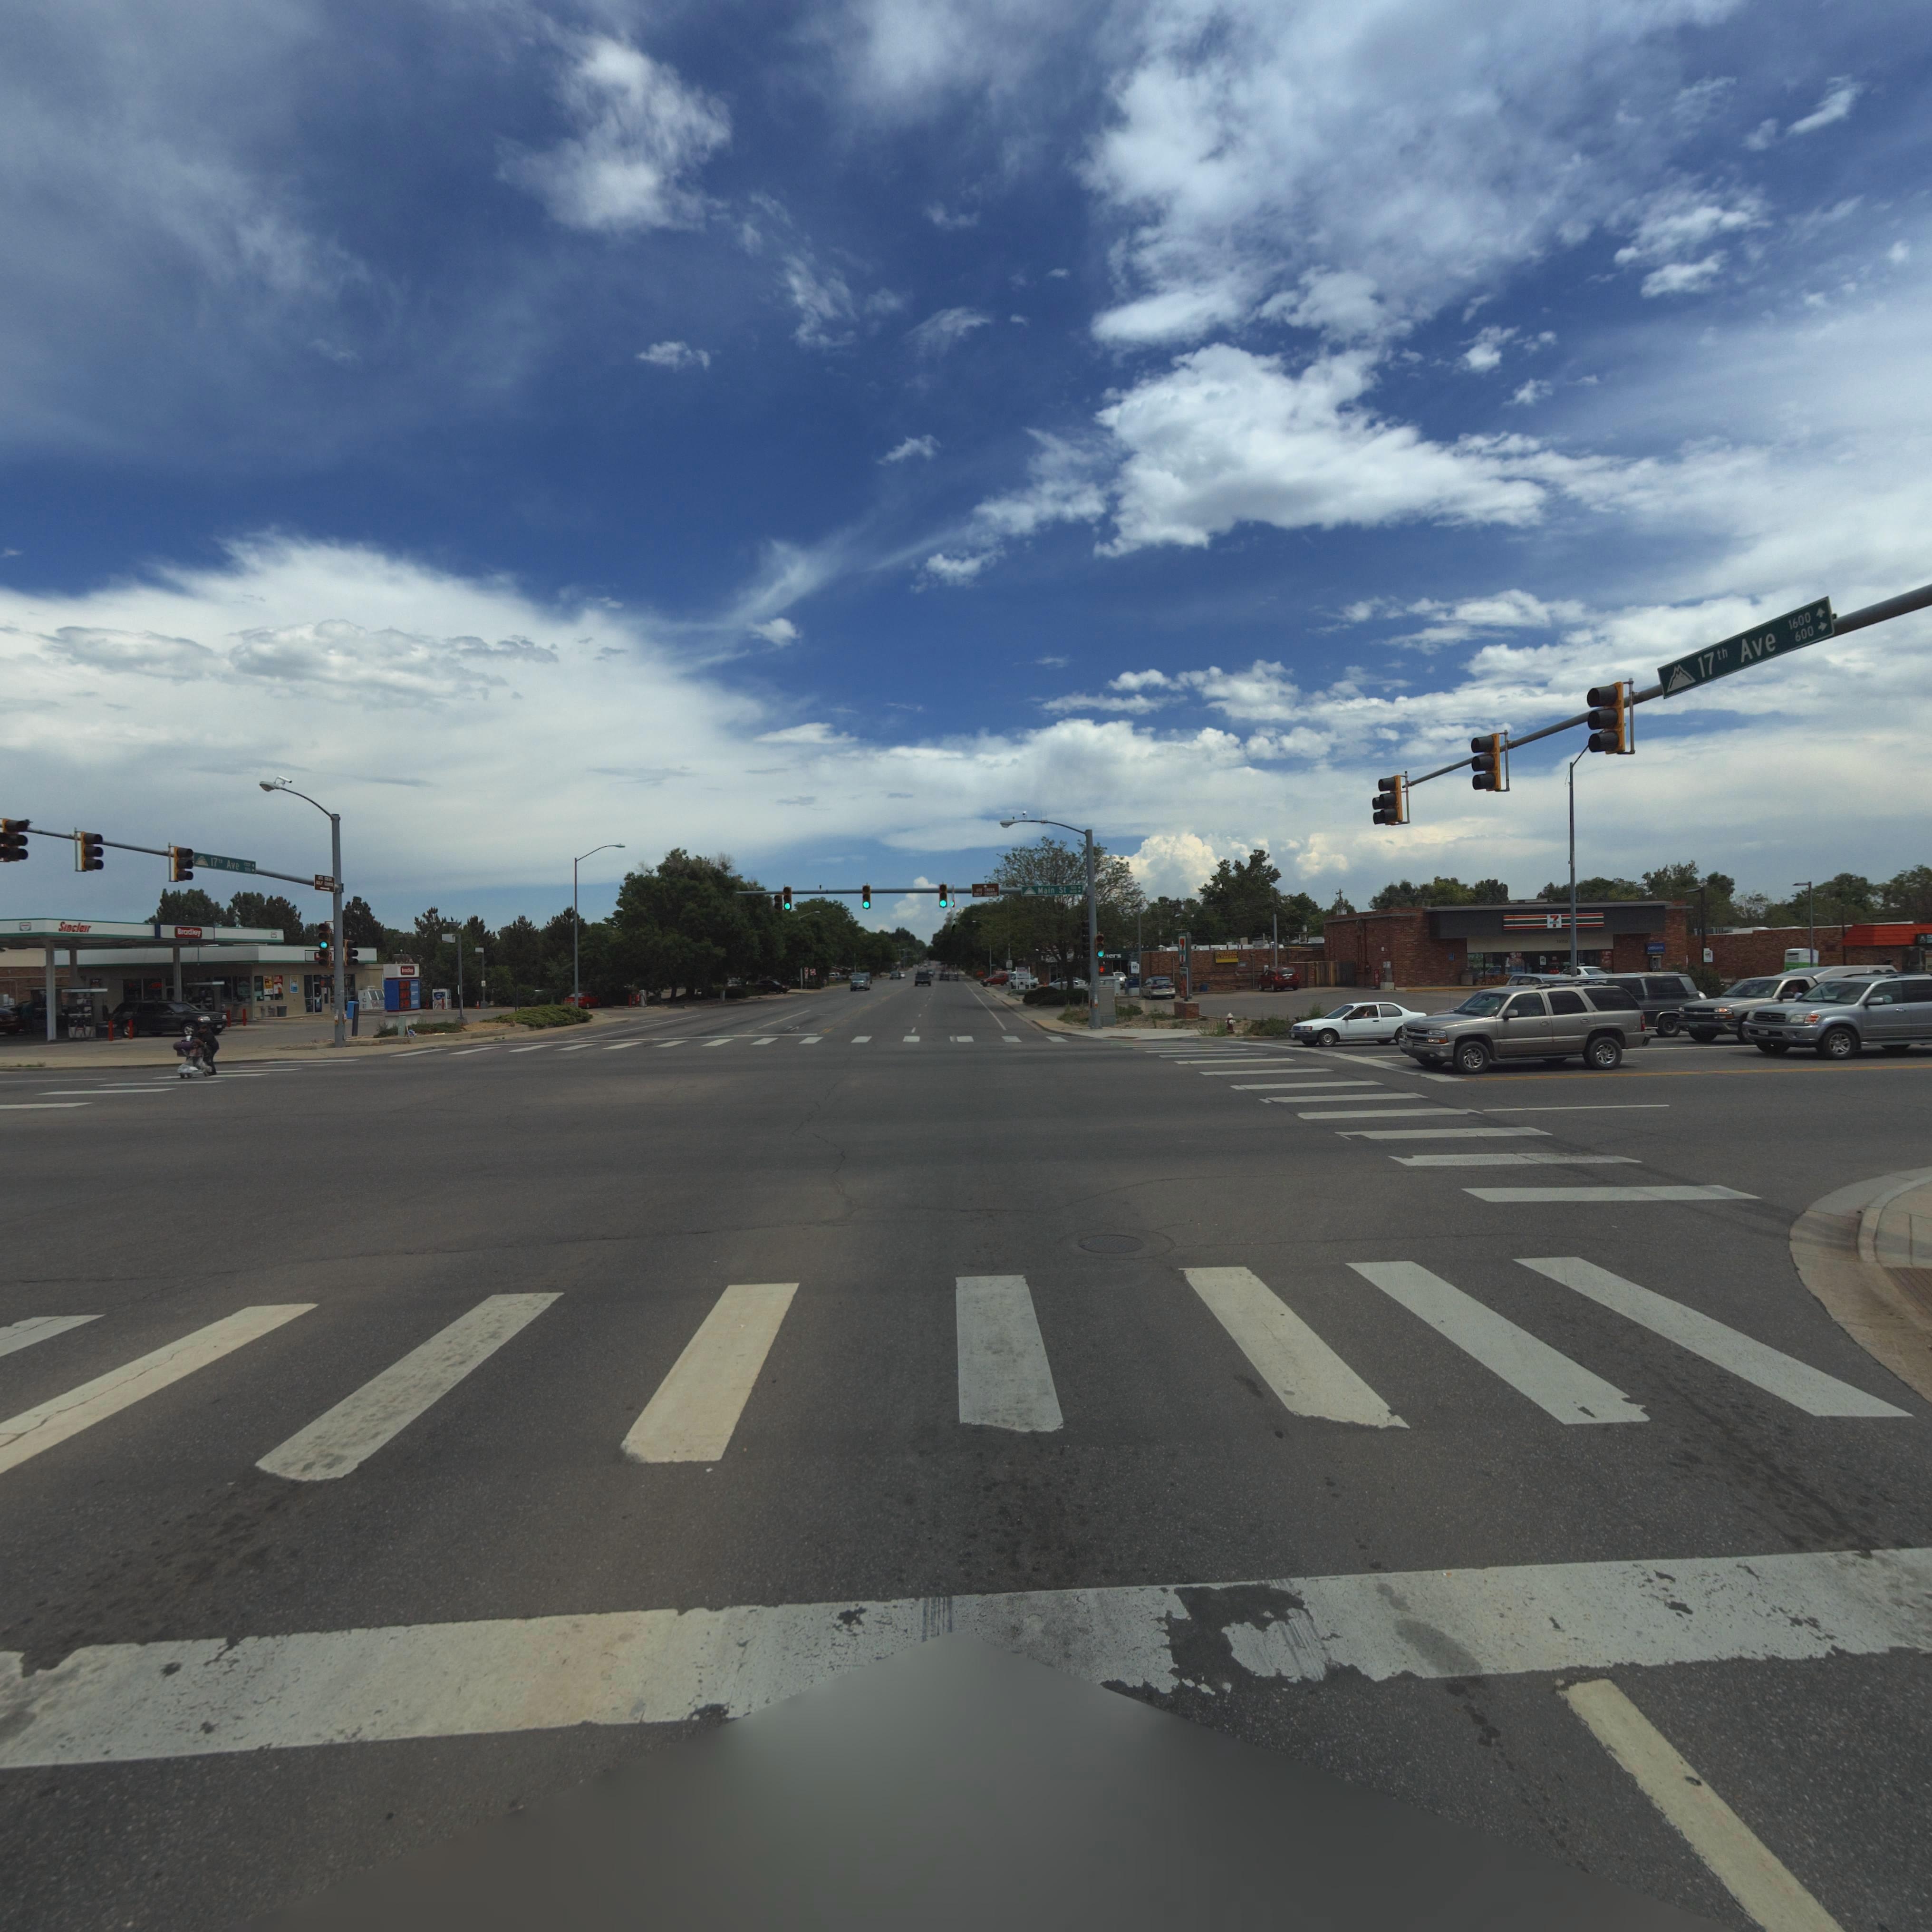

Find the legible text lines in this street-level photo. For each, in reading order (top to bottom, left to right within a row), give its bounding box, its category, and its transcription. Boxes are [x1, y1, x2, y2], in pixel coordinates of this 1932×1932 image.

[1787, 611, 1812, 630] StreetNumberRange: 1600
[1794, 621, 1828, 642] StreetNumberRange: 600->
[1697, 632, 1776, 678] StreetName: 17th Ave
[210, 857, 240, 870] StreetName: 17** Ave
[1037, 886, 1067, 894] StreetName: Main St
[58, 921, 92, 933] BusinessName: S**cl**r
[177, 927, 201, 937] BusinessName: B**d**y
[1549, 915, 1559, 927] BusinessName: 7
[1556, 939, 1568, 943] StreetNumber: 1***
[1103, 953, 1121, 958] BusinessName: *ers
[1179, 937, 1185, 962] BusinessName: 7